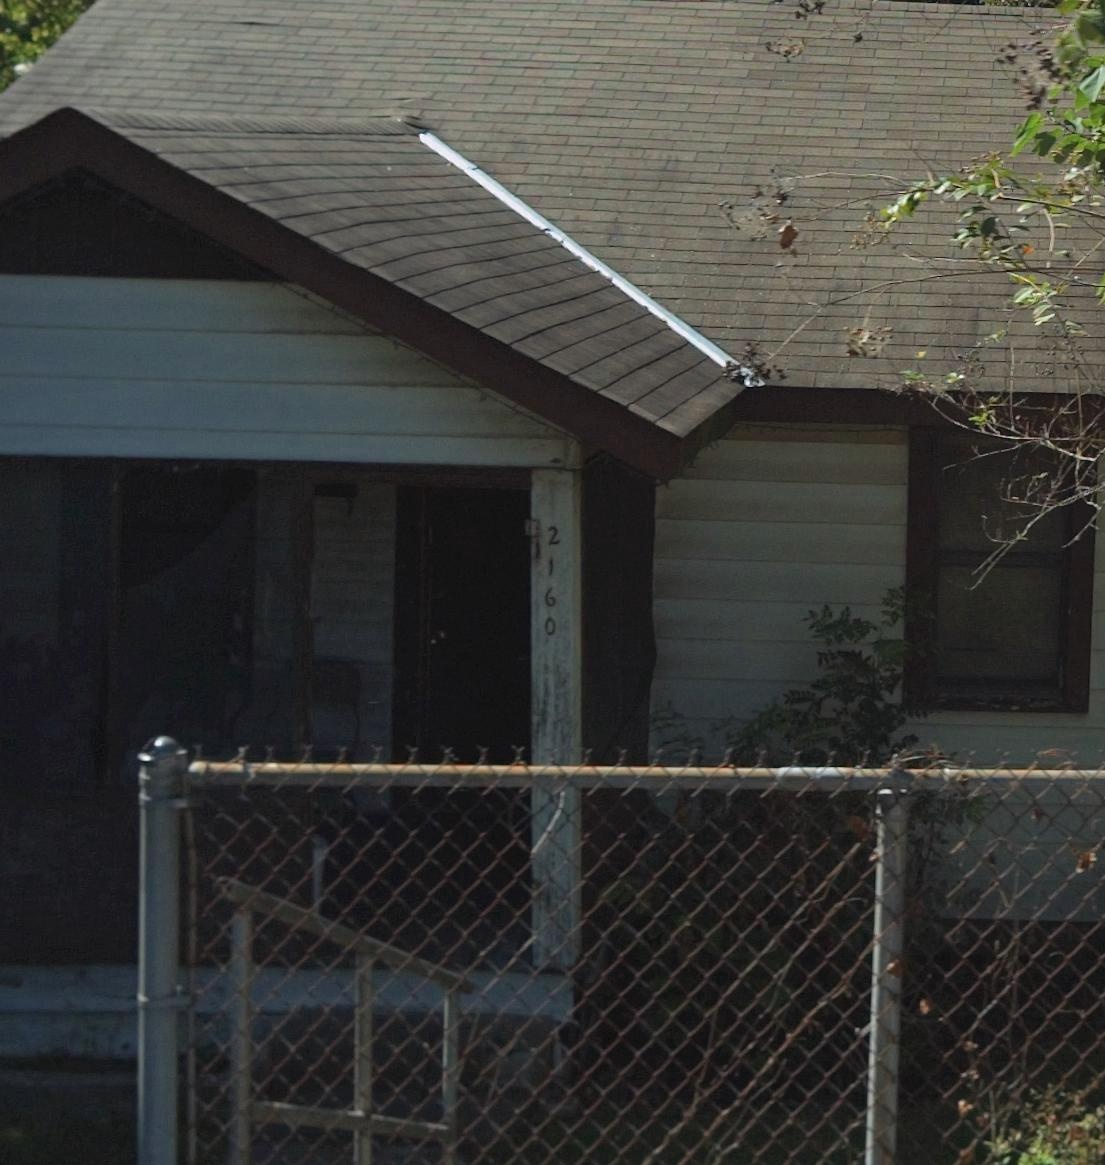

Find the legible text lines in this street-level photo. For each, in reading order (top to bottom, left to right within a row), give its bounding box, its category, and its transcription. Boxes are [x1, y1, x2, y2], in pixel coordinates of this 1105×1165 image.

[541, 523, 559, 639] StreetNumber: 2160